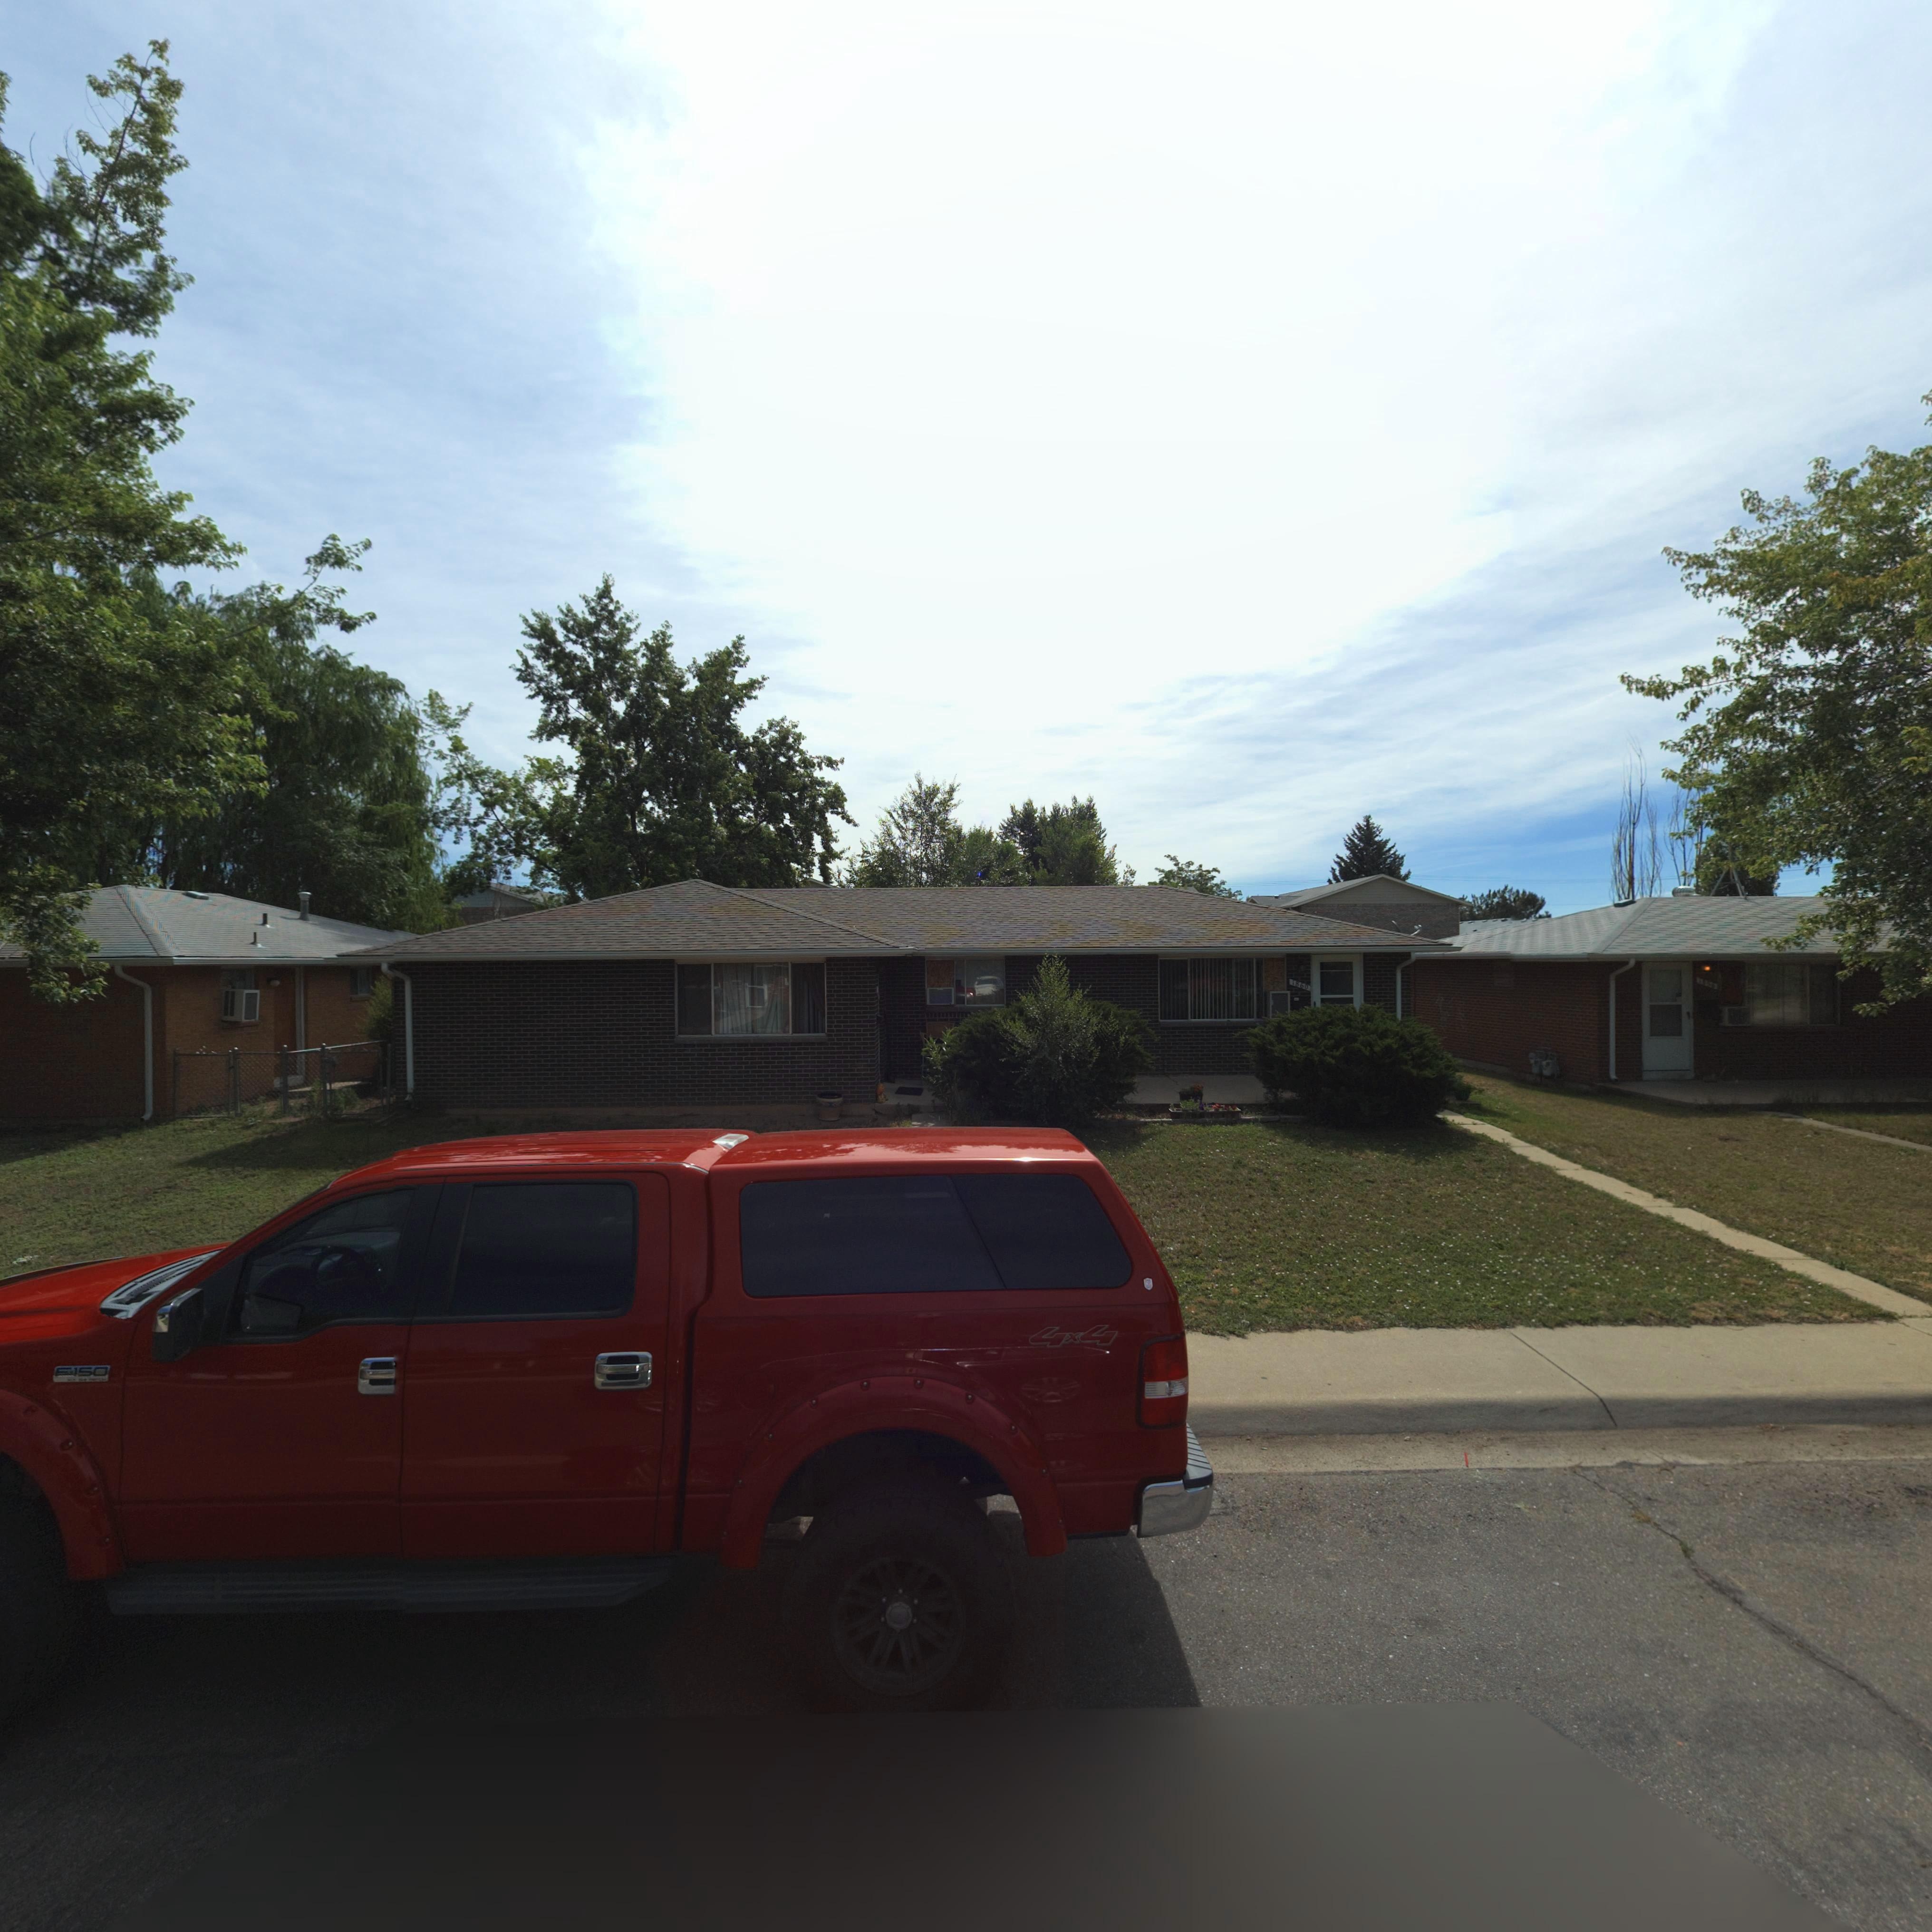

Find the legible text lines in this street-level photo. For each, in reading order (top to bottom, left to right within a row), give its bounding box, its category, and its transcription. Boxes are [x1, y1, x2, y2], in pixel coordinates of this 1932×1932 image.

[1292, 979, 1308, 990] StreetNumber: 1860
[1698, 977, 1716, 989] StreetNumber: 1856